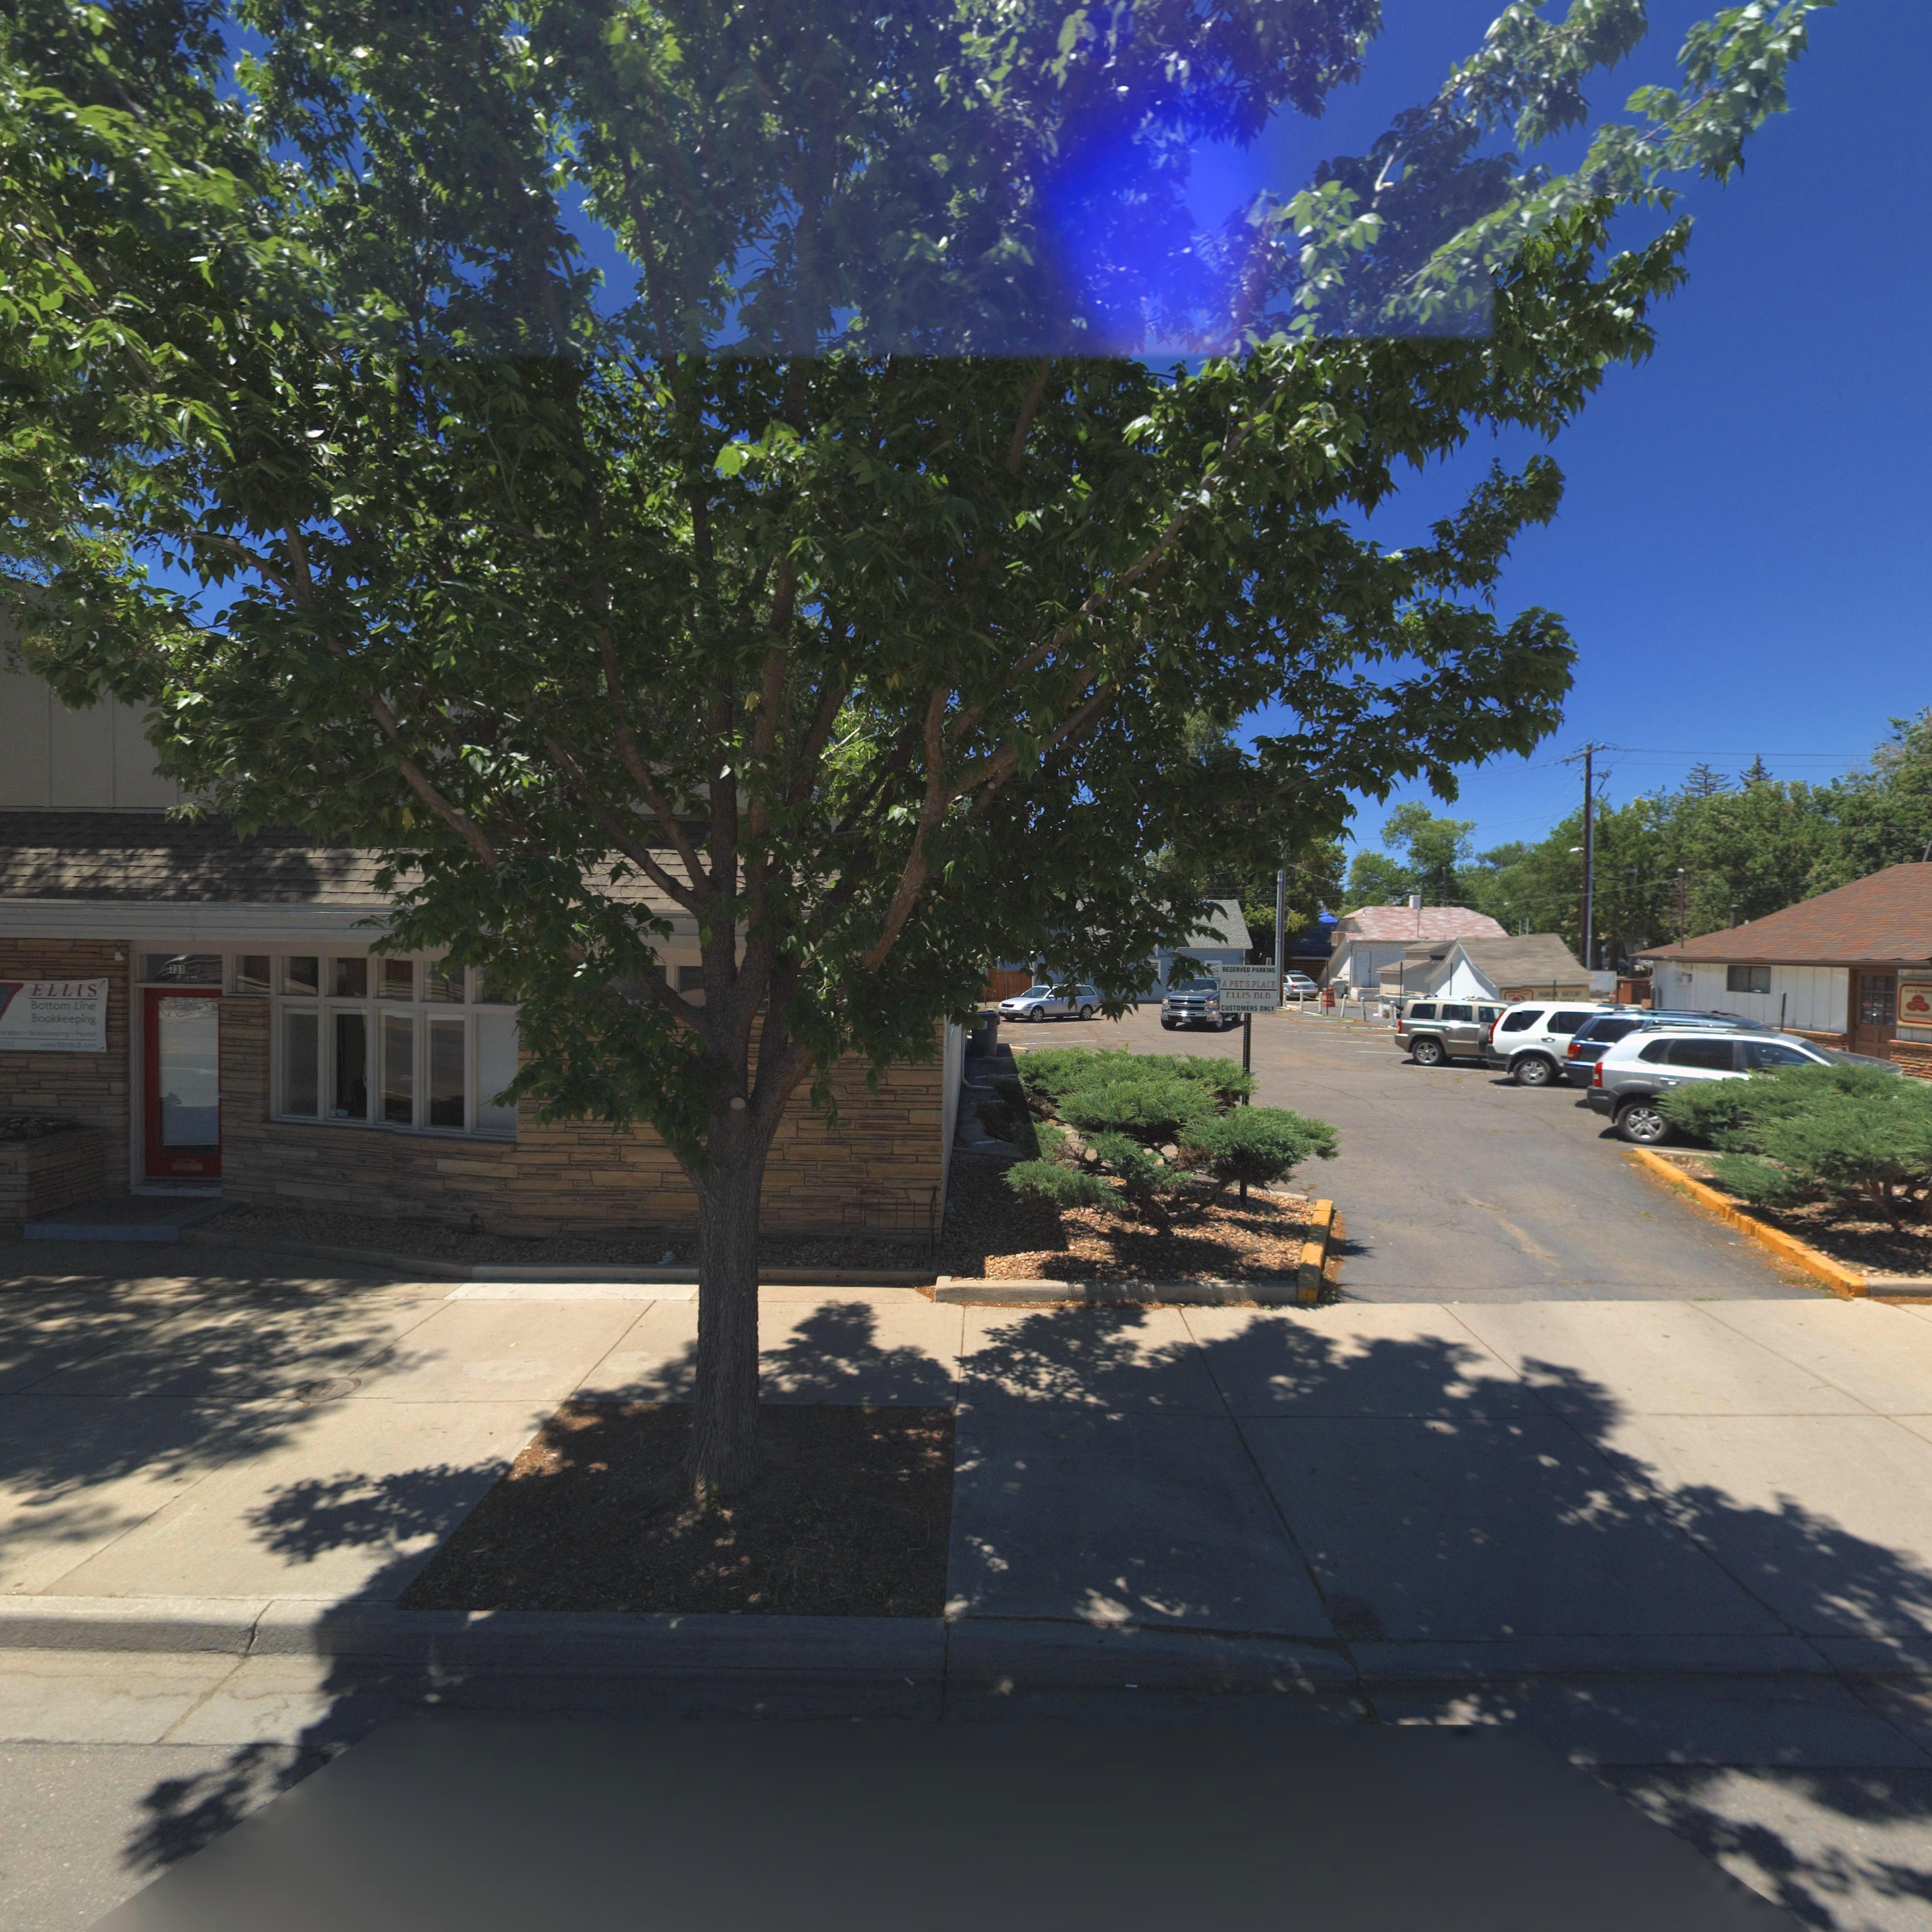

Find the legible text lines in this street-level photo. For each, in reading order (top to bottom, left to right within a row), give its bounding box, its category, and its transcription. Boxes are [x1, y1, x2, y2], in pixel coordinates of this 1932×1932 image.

[170, 965, 183, 973] StreetNumber: 731
[1222, 980, 1275, 988] BusinessName: A PET'S PLACE
[31, 983, 97, 997] BusinessName: ELLIS
[1538, 990, 1582, 997] BusinessName: FRANK**N *ATZ**FF
[1905, 989, 1932, 994] BusinessName: STATE ***M
[31, 1000, 96, 1011] BusinessName: Bottom Line
[31, 1013, 97, 1026] BusinessName: Bookkeeping